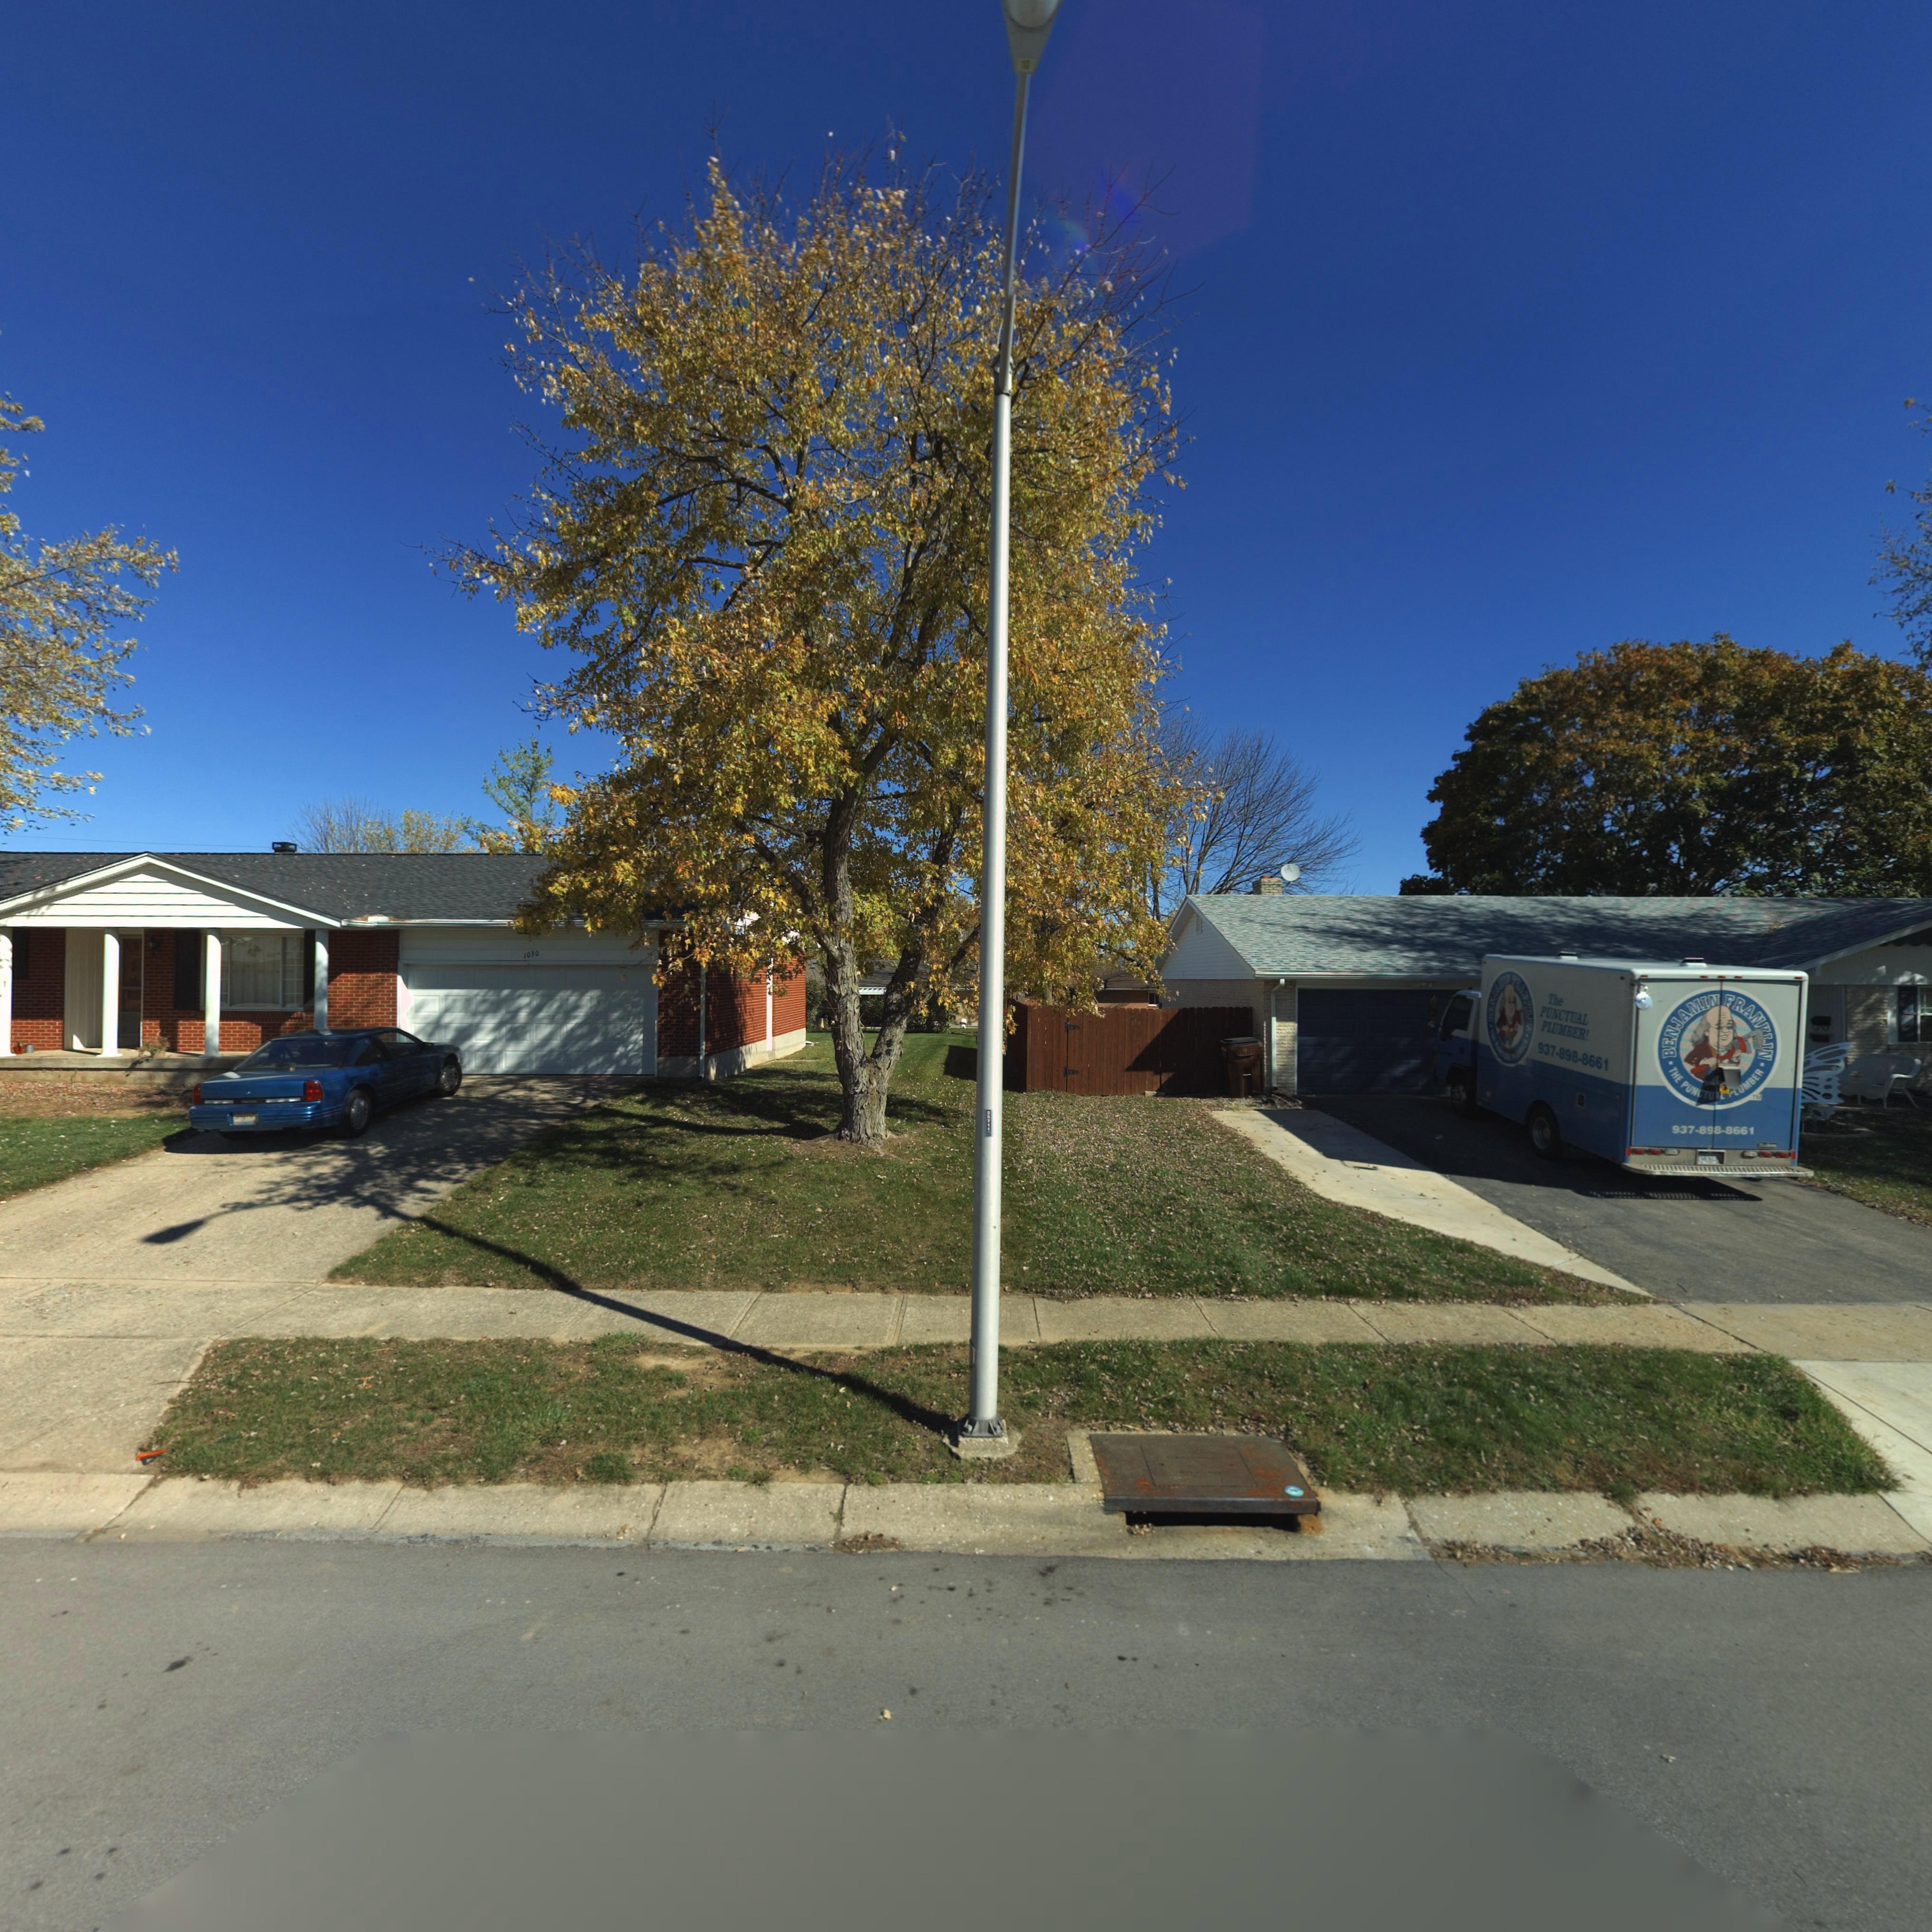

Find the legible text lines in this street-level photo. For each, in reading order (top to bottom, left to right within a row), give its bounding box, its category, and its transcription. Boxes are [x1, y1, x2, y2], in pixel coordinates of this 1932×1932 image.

[522, 949, 540, 960] StreetNumber: 1030